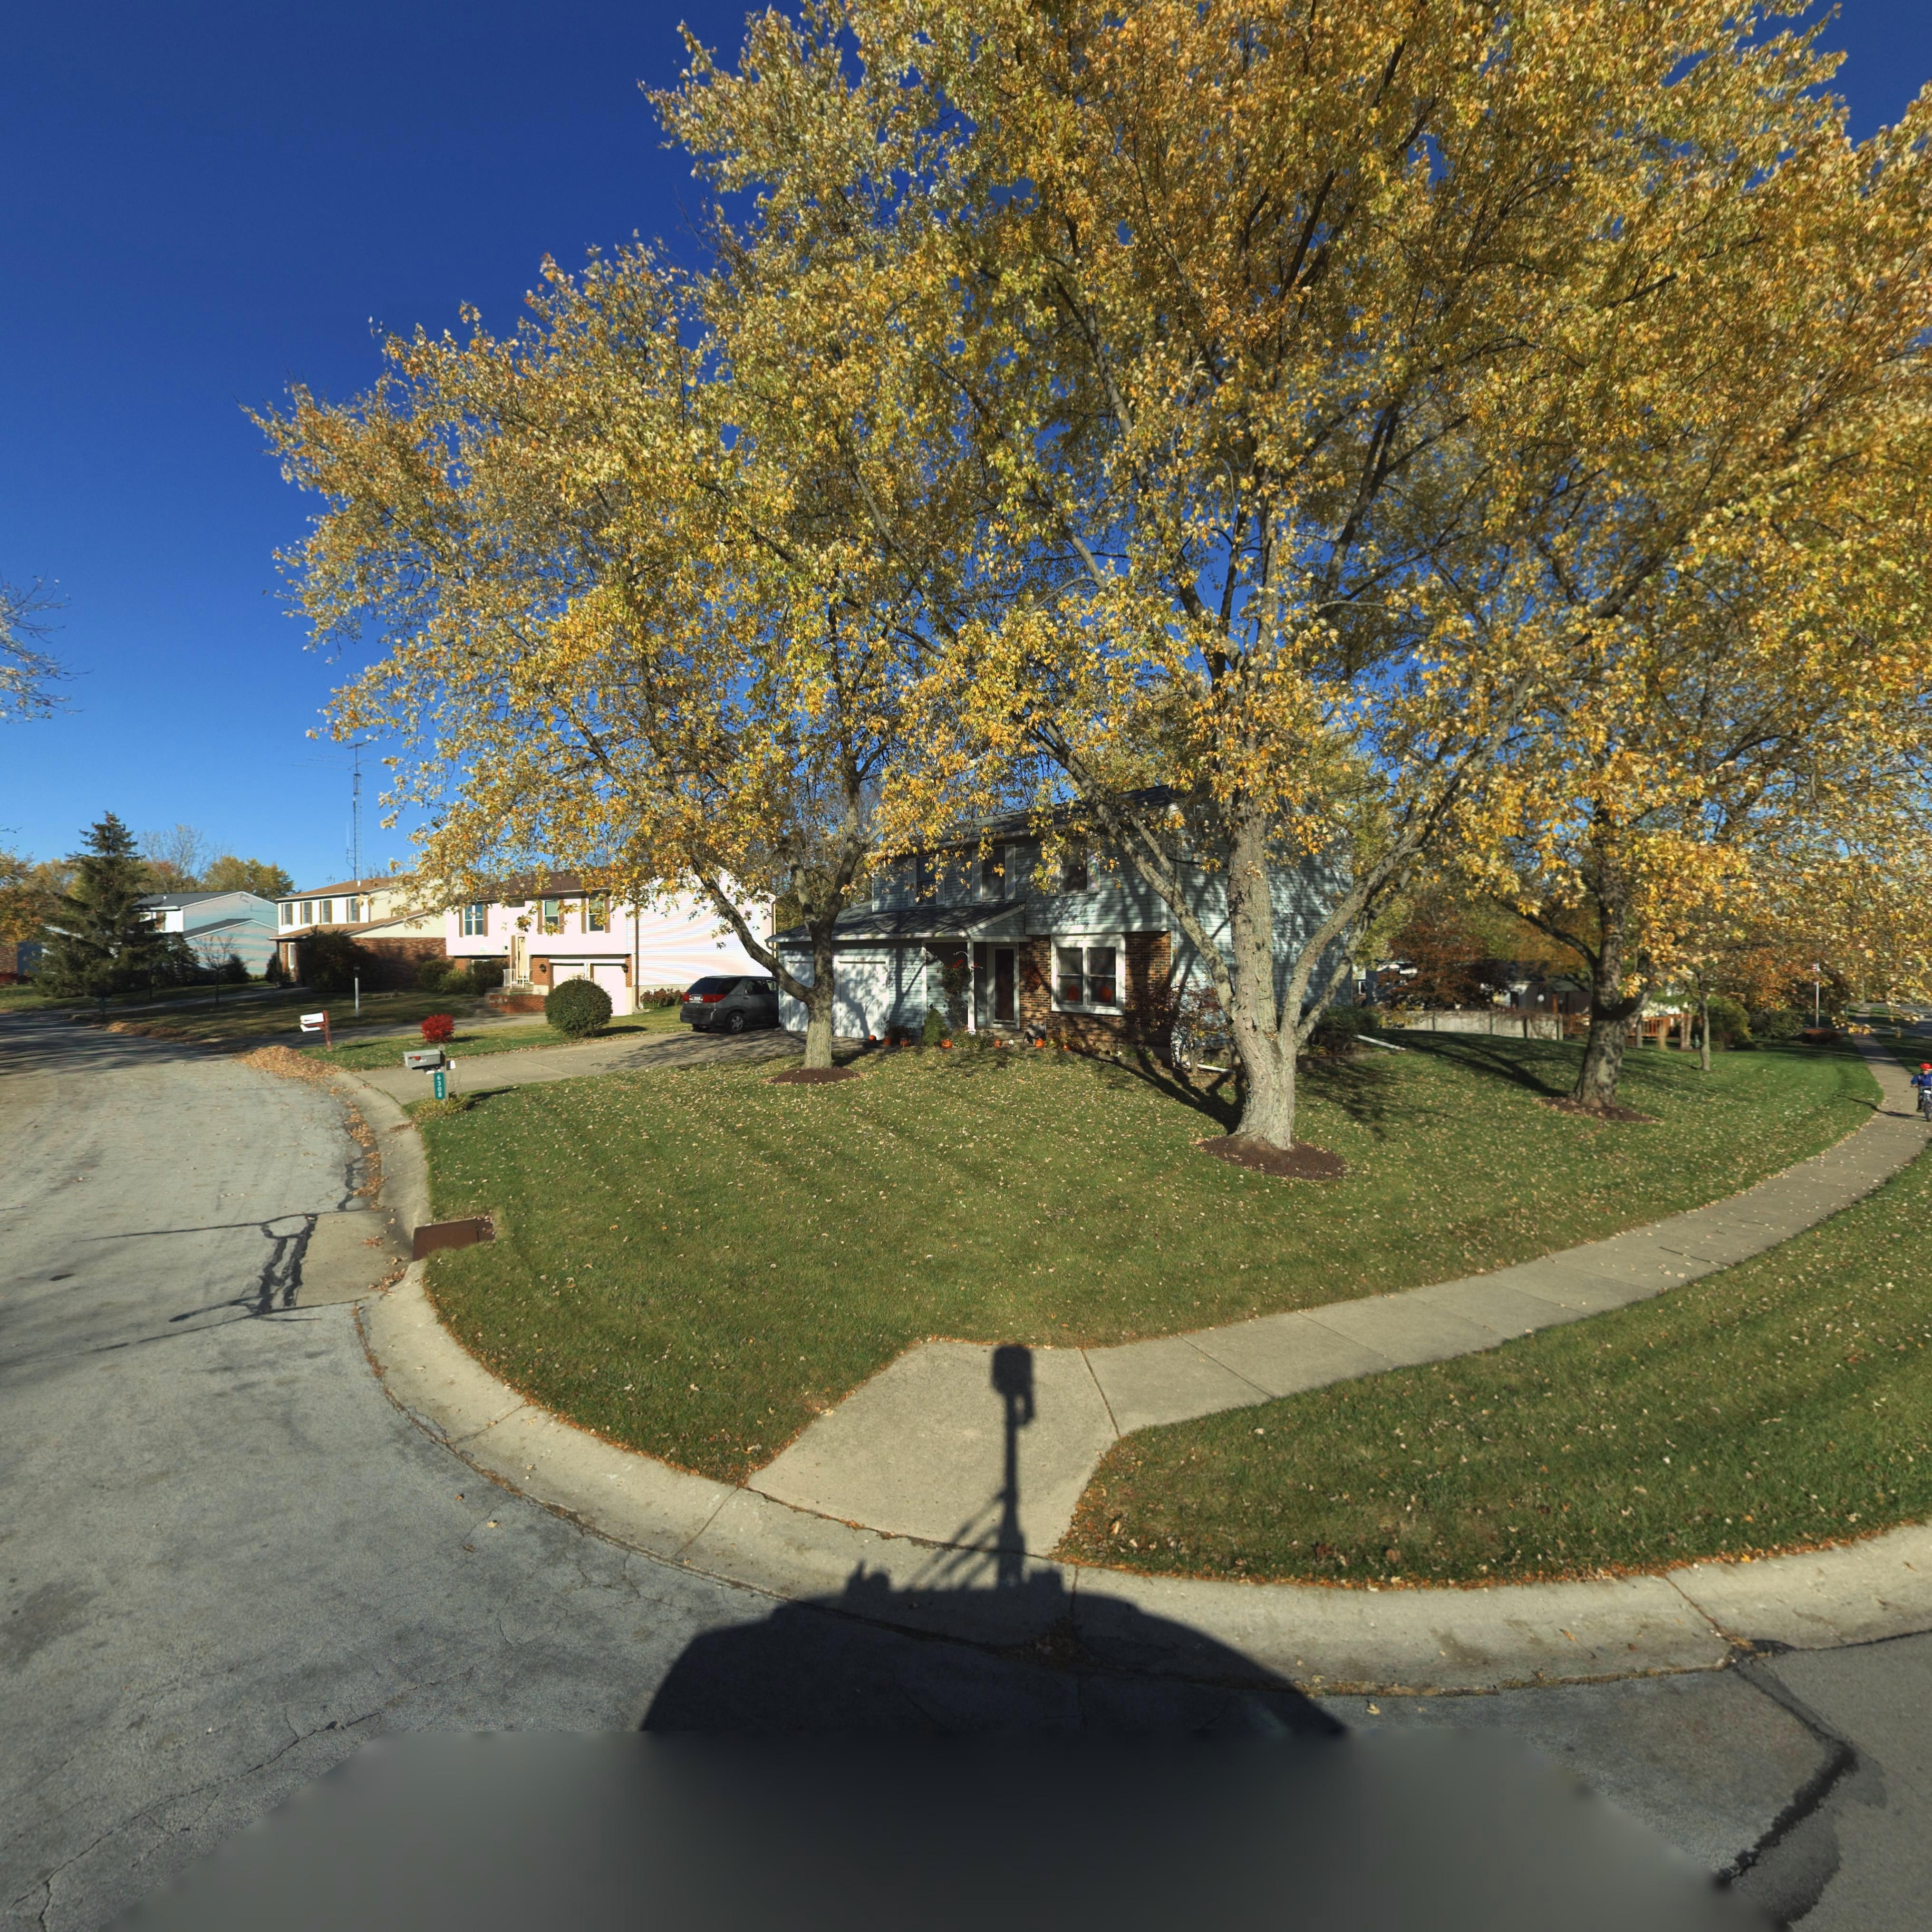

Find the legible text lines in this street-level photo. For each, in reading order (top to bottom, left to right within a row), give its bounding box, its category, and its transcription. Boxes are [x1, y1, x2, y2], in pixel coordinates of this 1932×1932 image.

[436, 1073, 444, 1099] StreetNumber: 6308